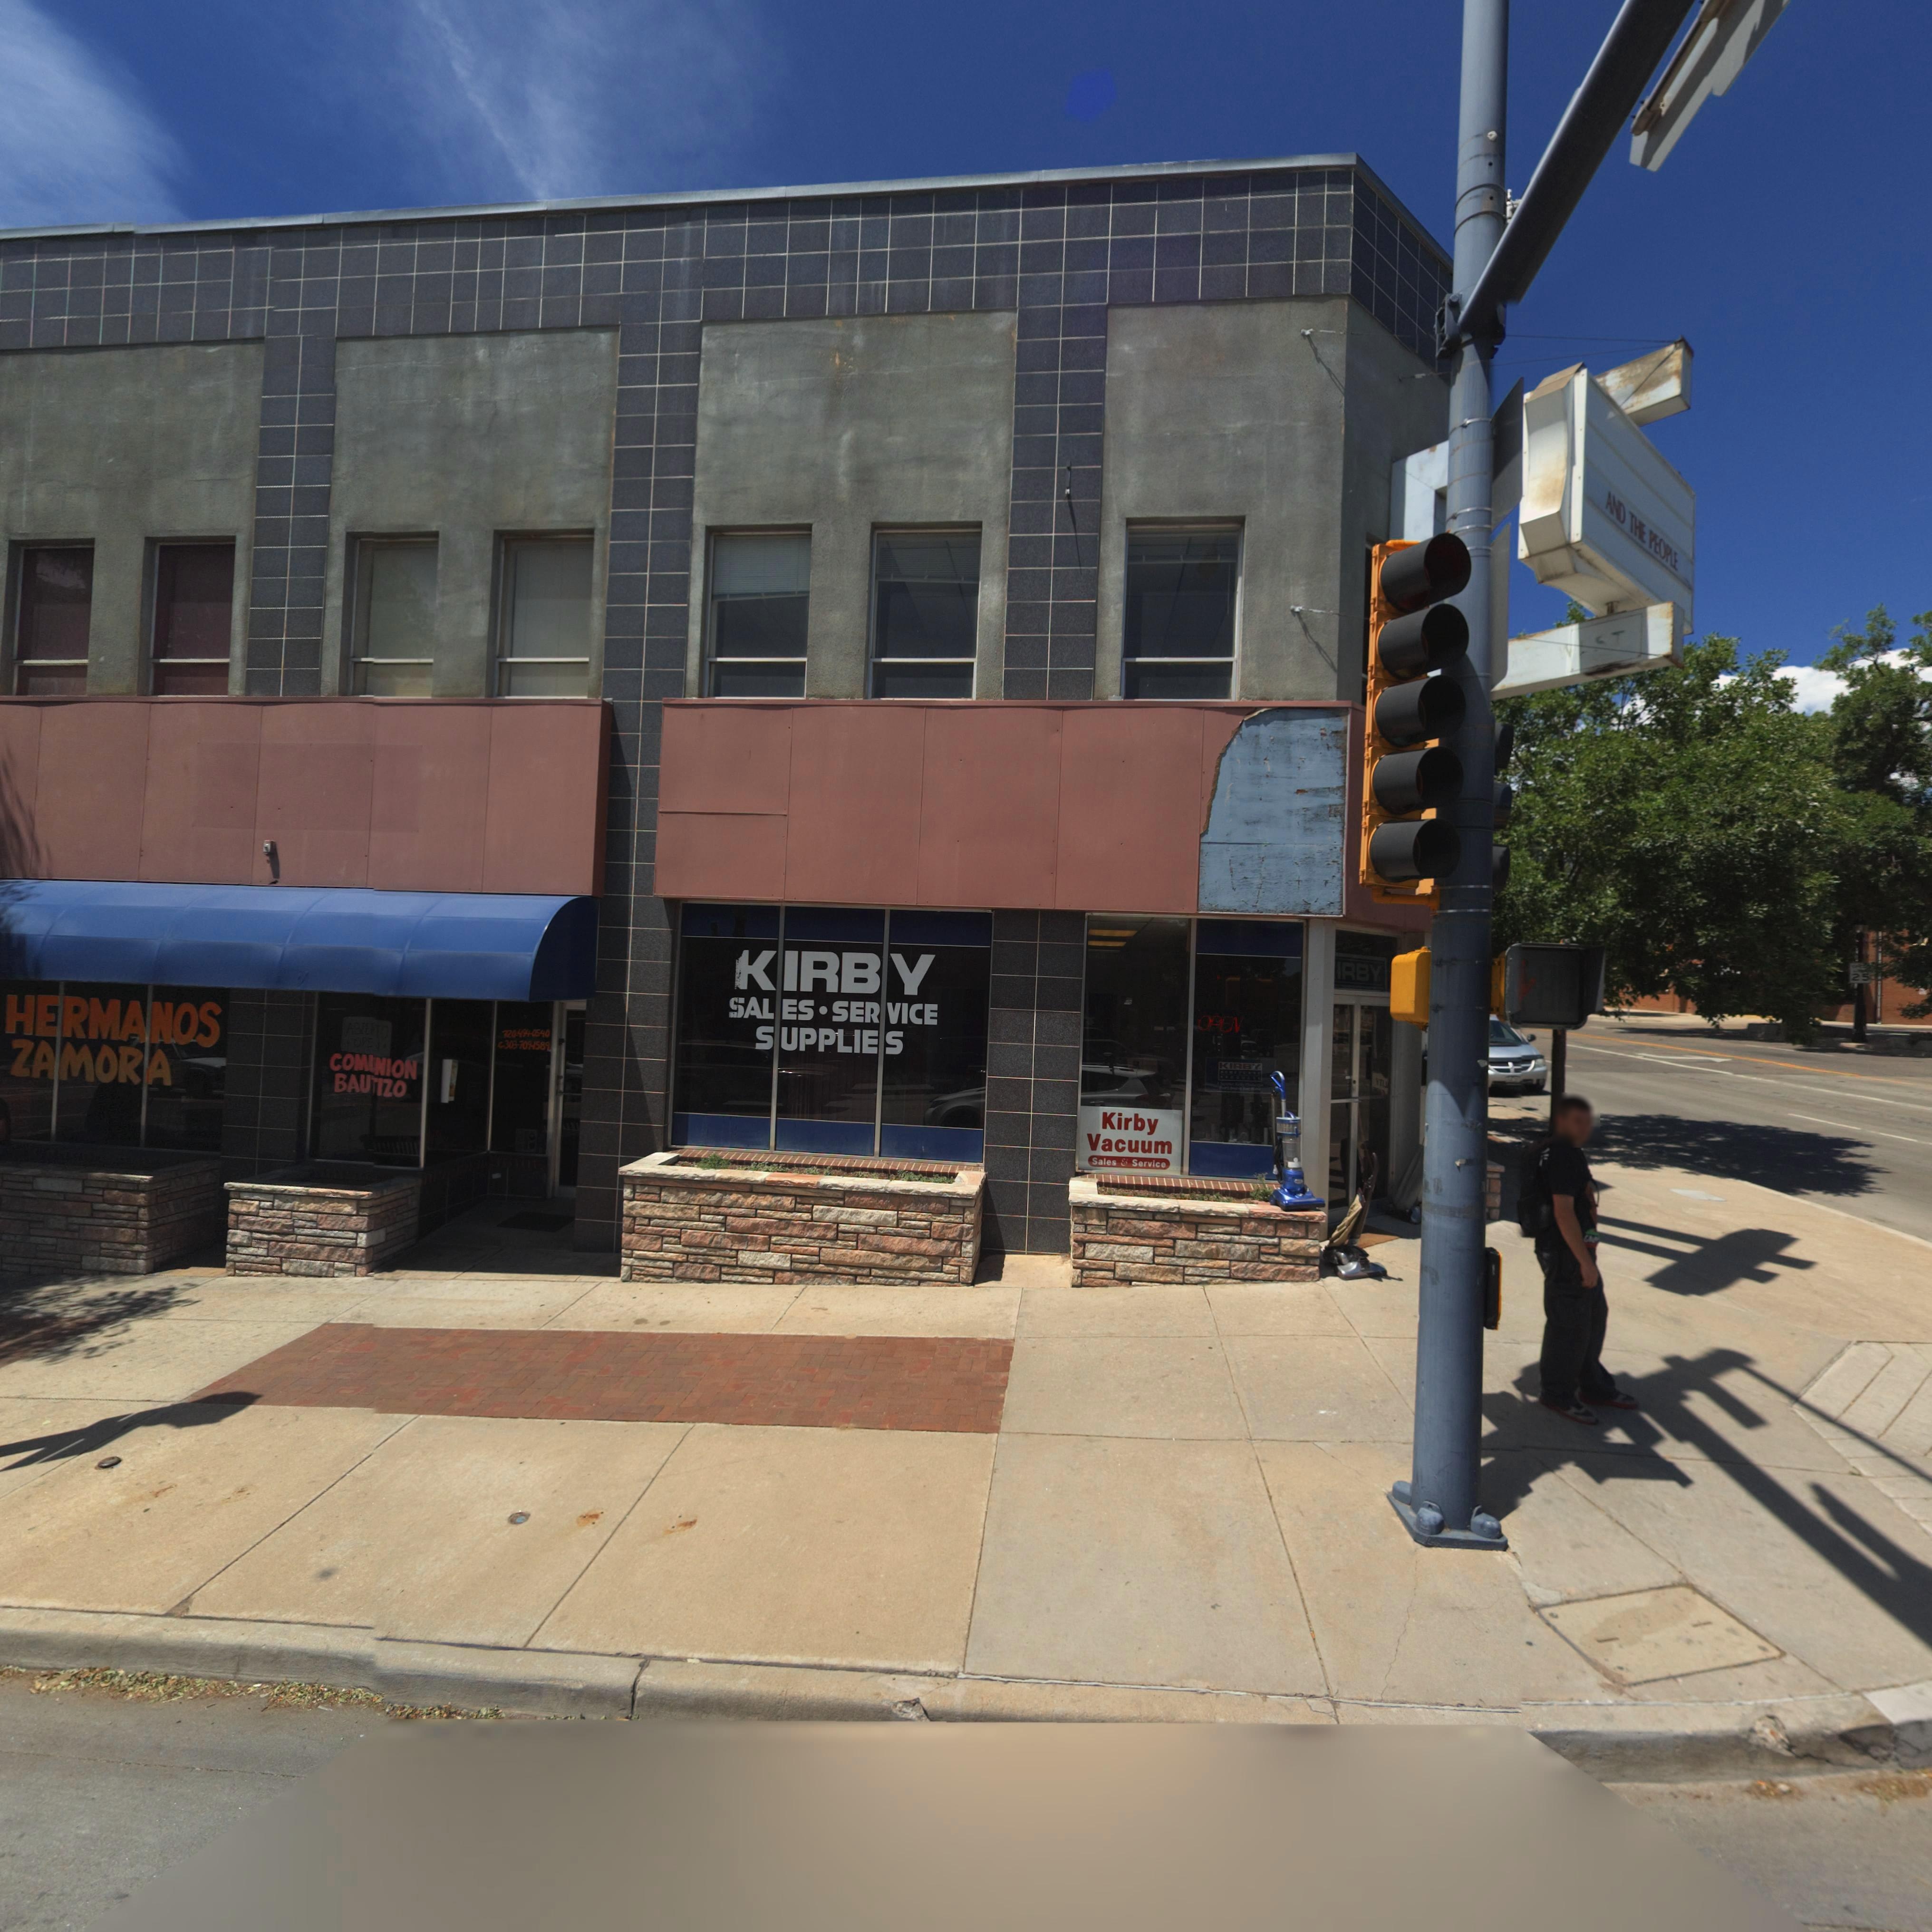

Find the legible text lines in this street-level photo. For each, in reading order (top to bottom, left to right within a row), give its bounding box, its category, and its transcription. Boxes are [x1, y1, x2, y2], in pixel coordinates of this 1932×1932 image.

[733, 948, 937, 996] BusinessName: KIRBY
[3, 993, 223, 1049] BusinessName: HERMANOS
[9, 1038, 173, 1087] BusinessName: ZAMORA
[1085, 1132, 1172, 1155] BusinessName: Vacuum
[1101, 1111, 1159, 1136] BusinessName: Kirby